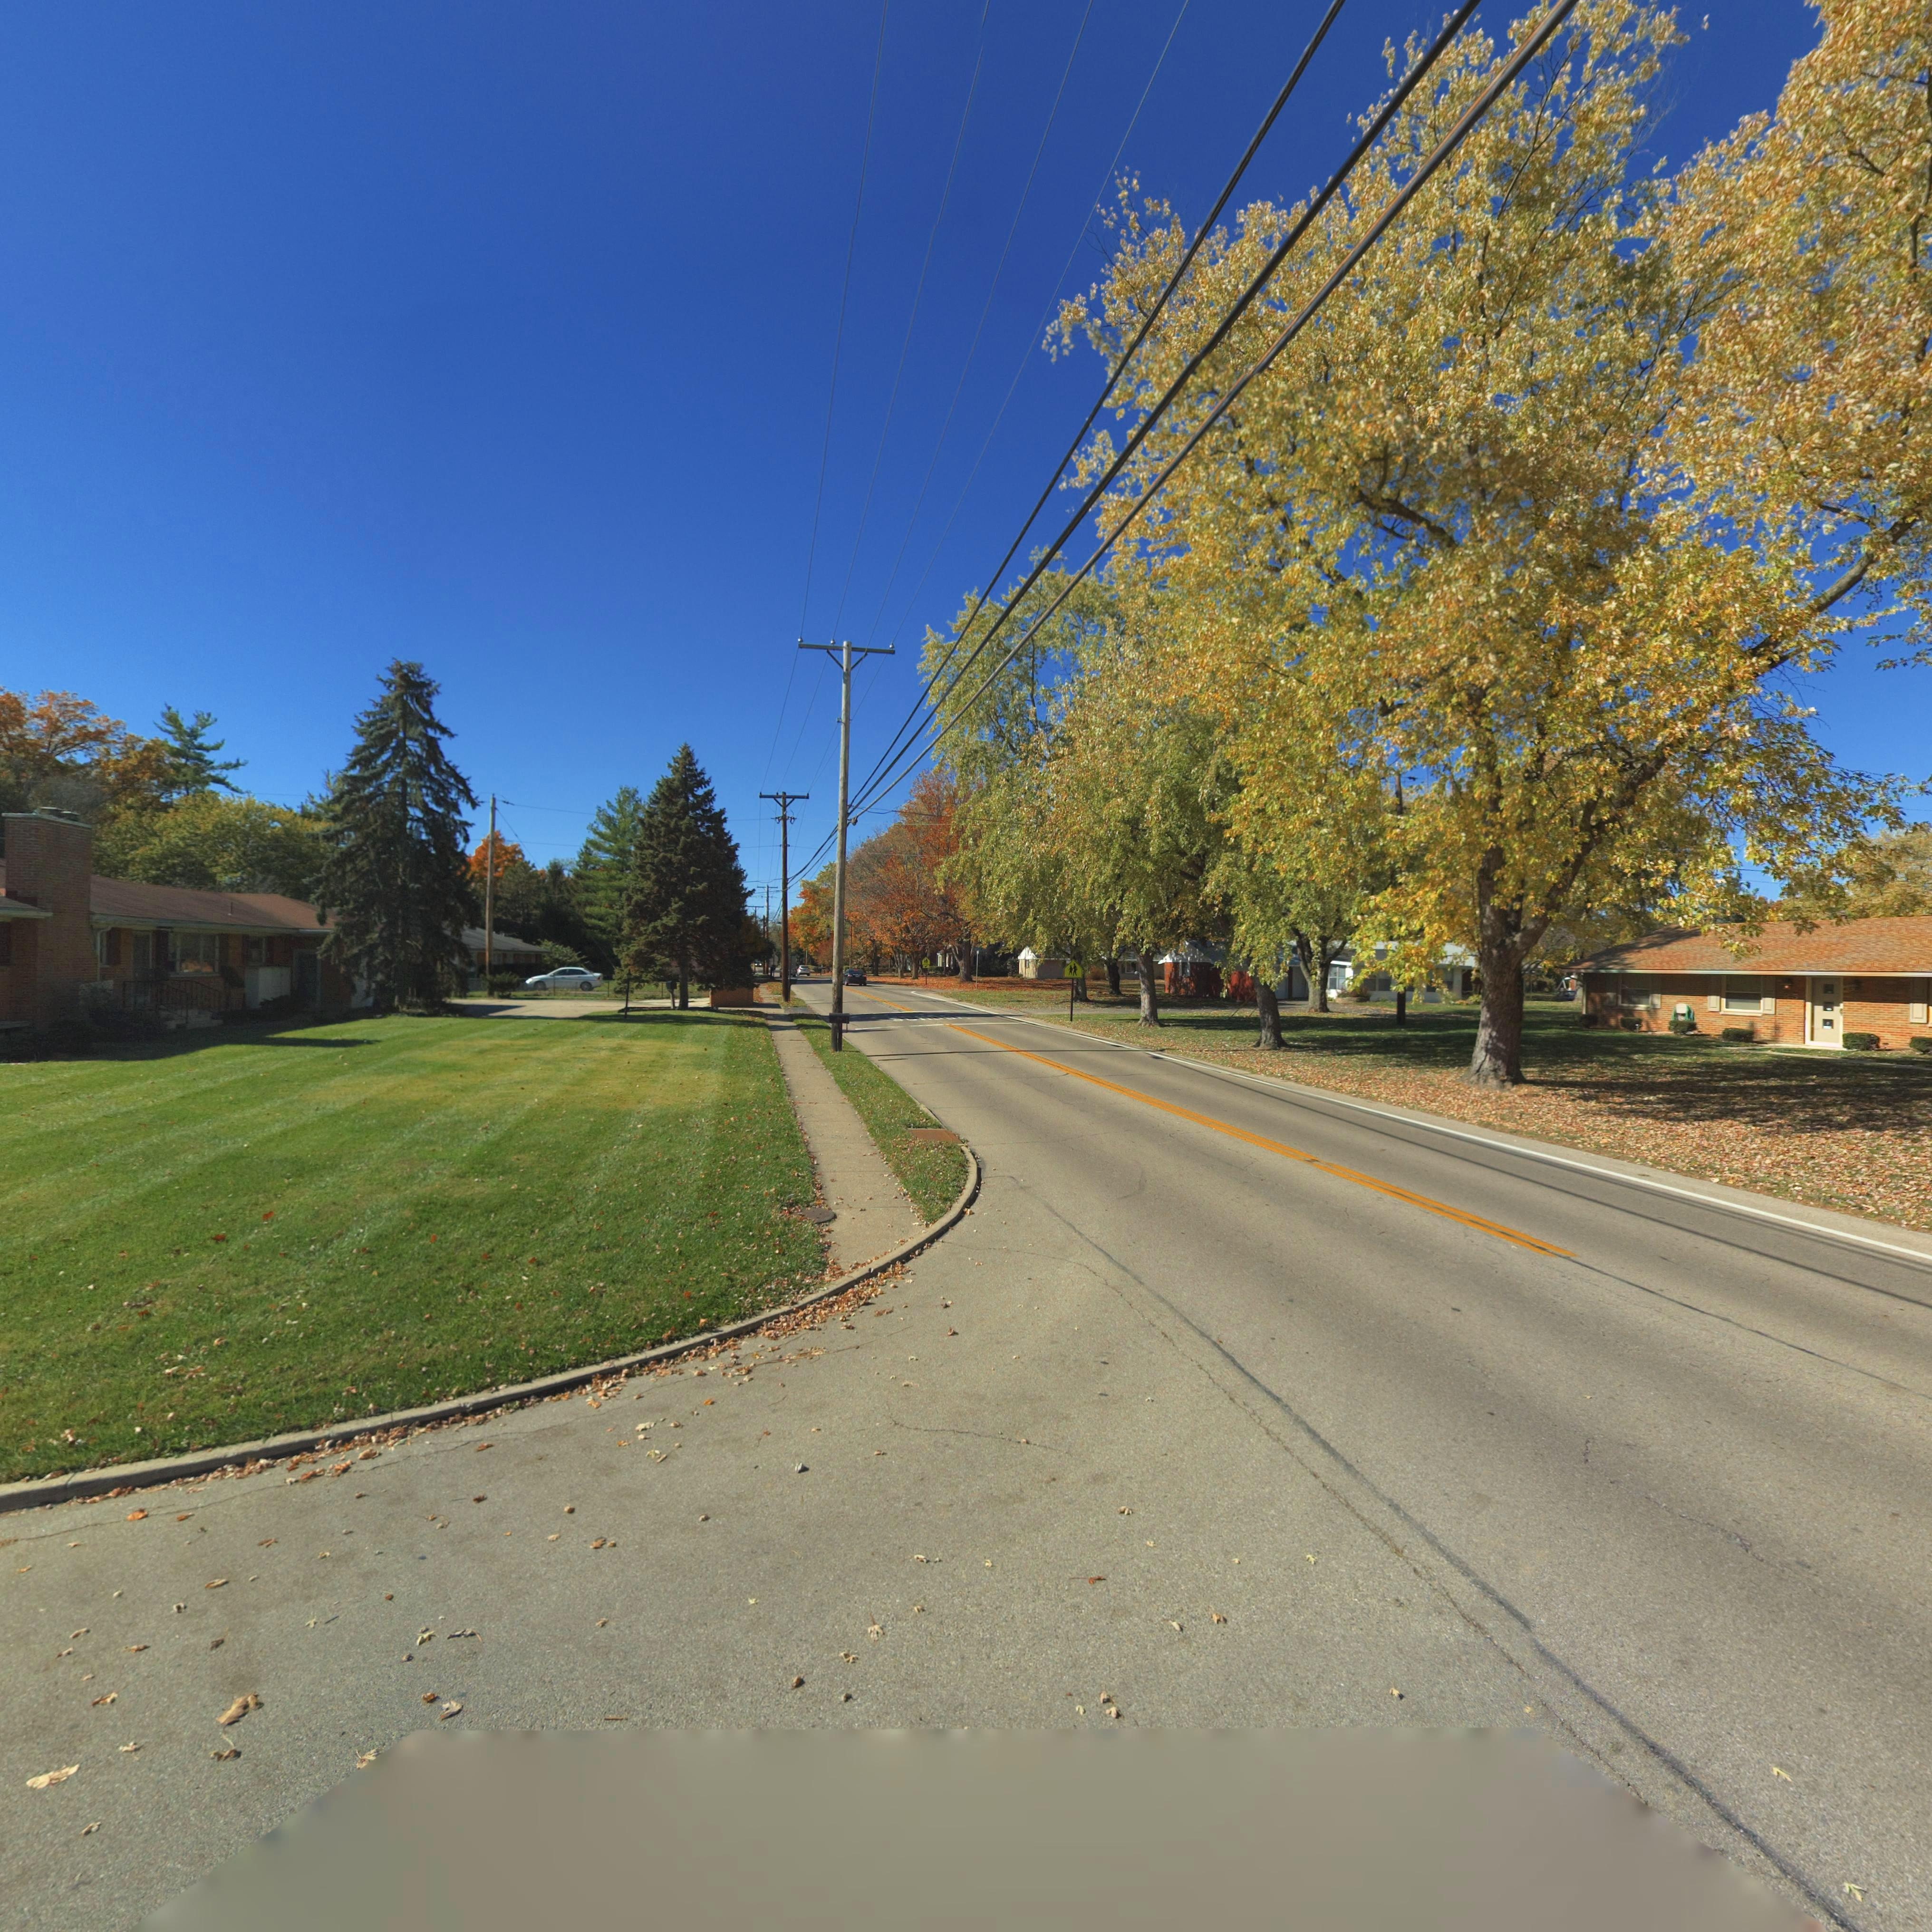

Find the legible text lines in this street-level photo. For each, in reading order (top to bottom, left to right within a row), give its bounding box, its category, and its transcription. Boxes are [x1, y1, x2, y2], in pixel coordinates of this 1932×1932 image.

[1791, 993, 1798, 1000] StreetNumber: 5